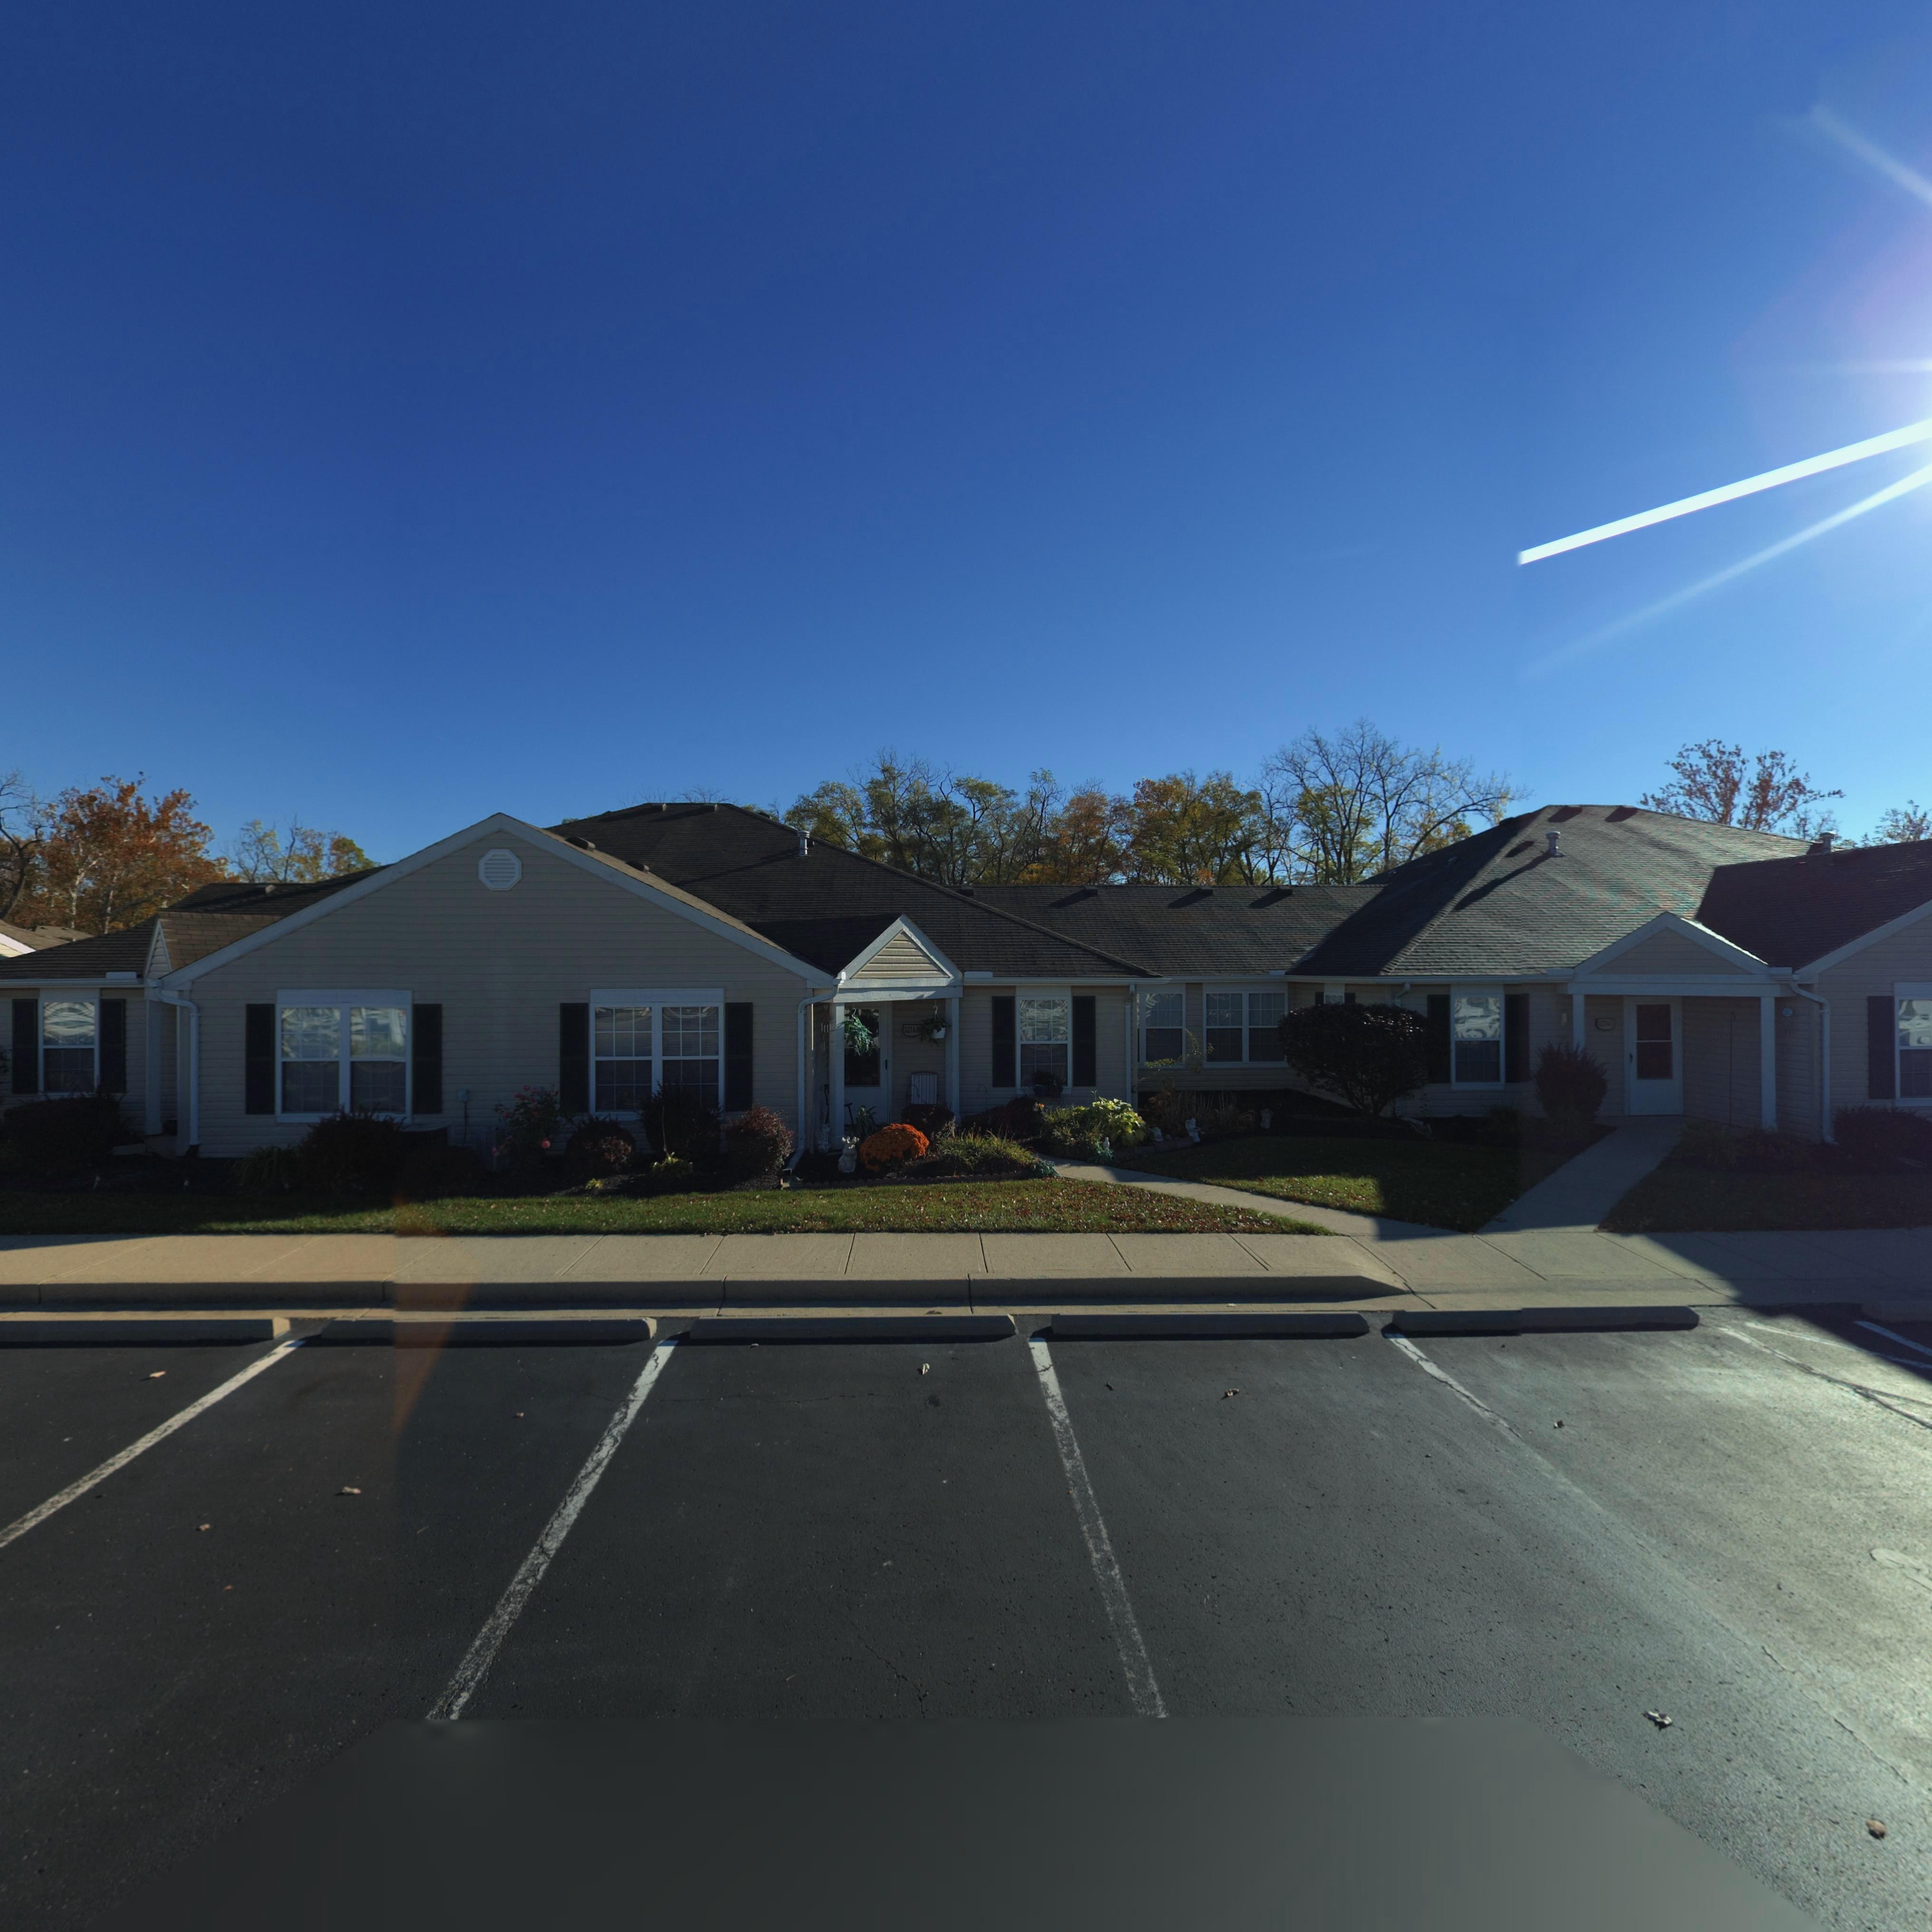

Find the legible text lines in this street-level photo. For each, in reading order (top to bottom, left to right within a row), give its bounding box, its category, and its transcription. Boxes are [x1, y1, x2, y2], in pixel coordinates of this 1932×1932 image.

[1596, 1019, 1613, 1026] StreetNumber: 5274-C
[903, 1026, 920, 1033] StreetNumber: 5274-B